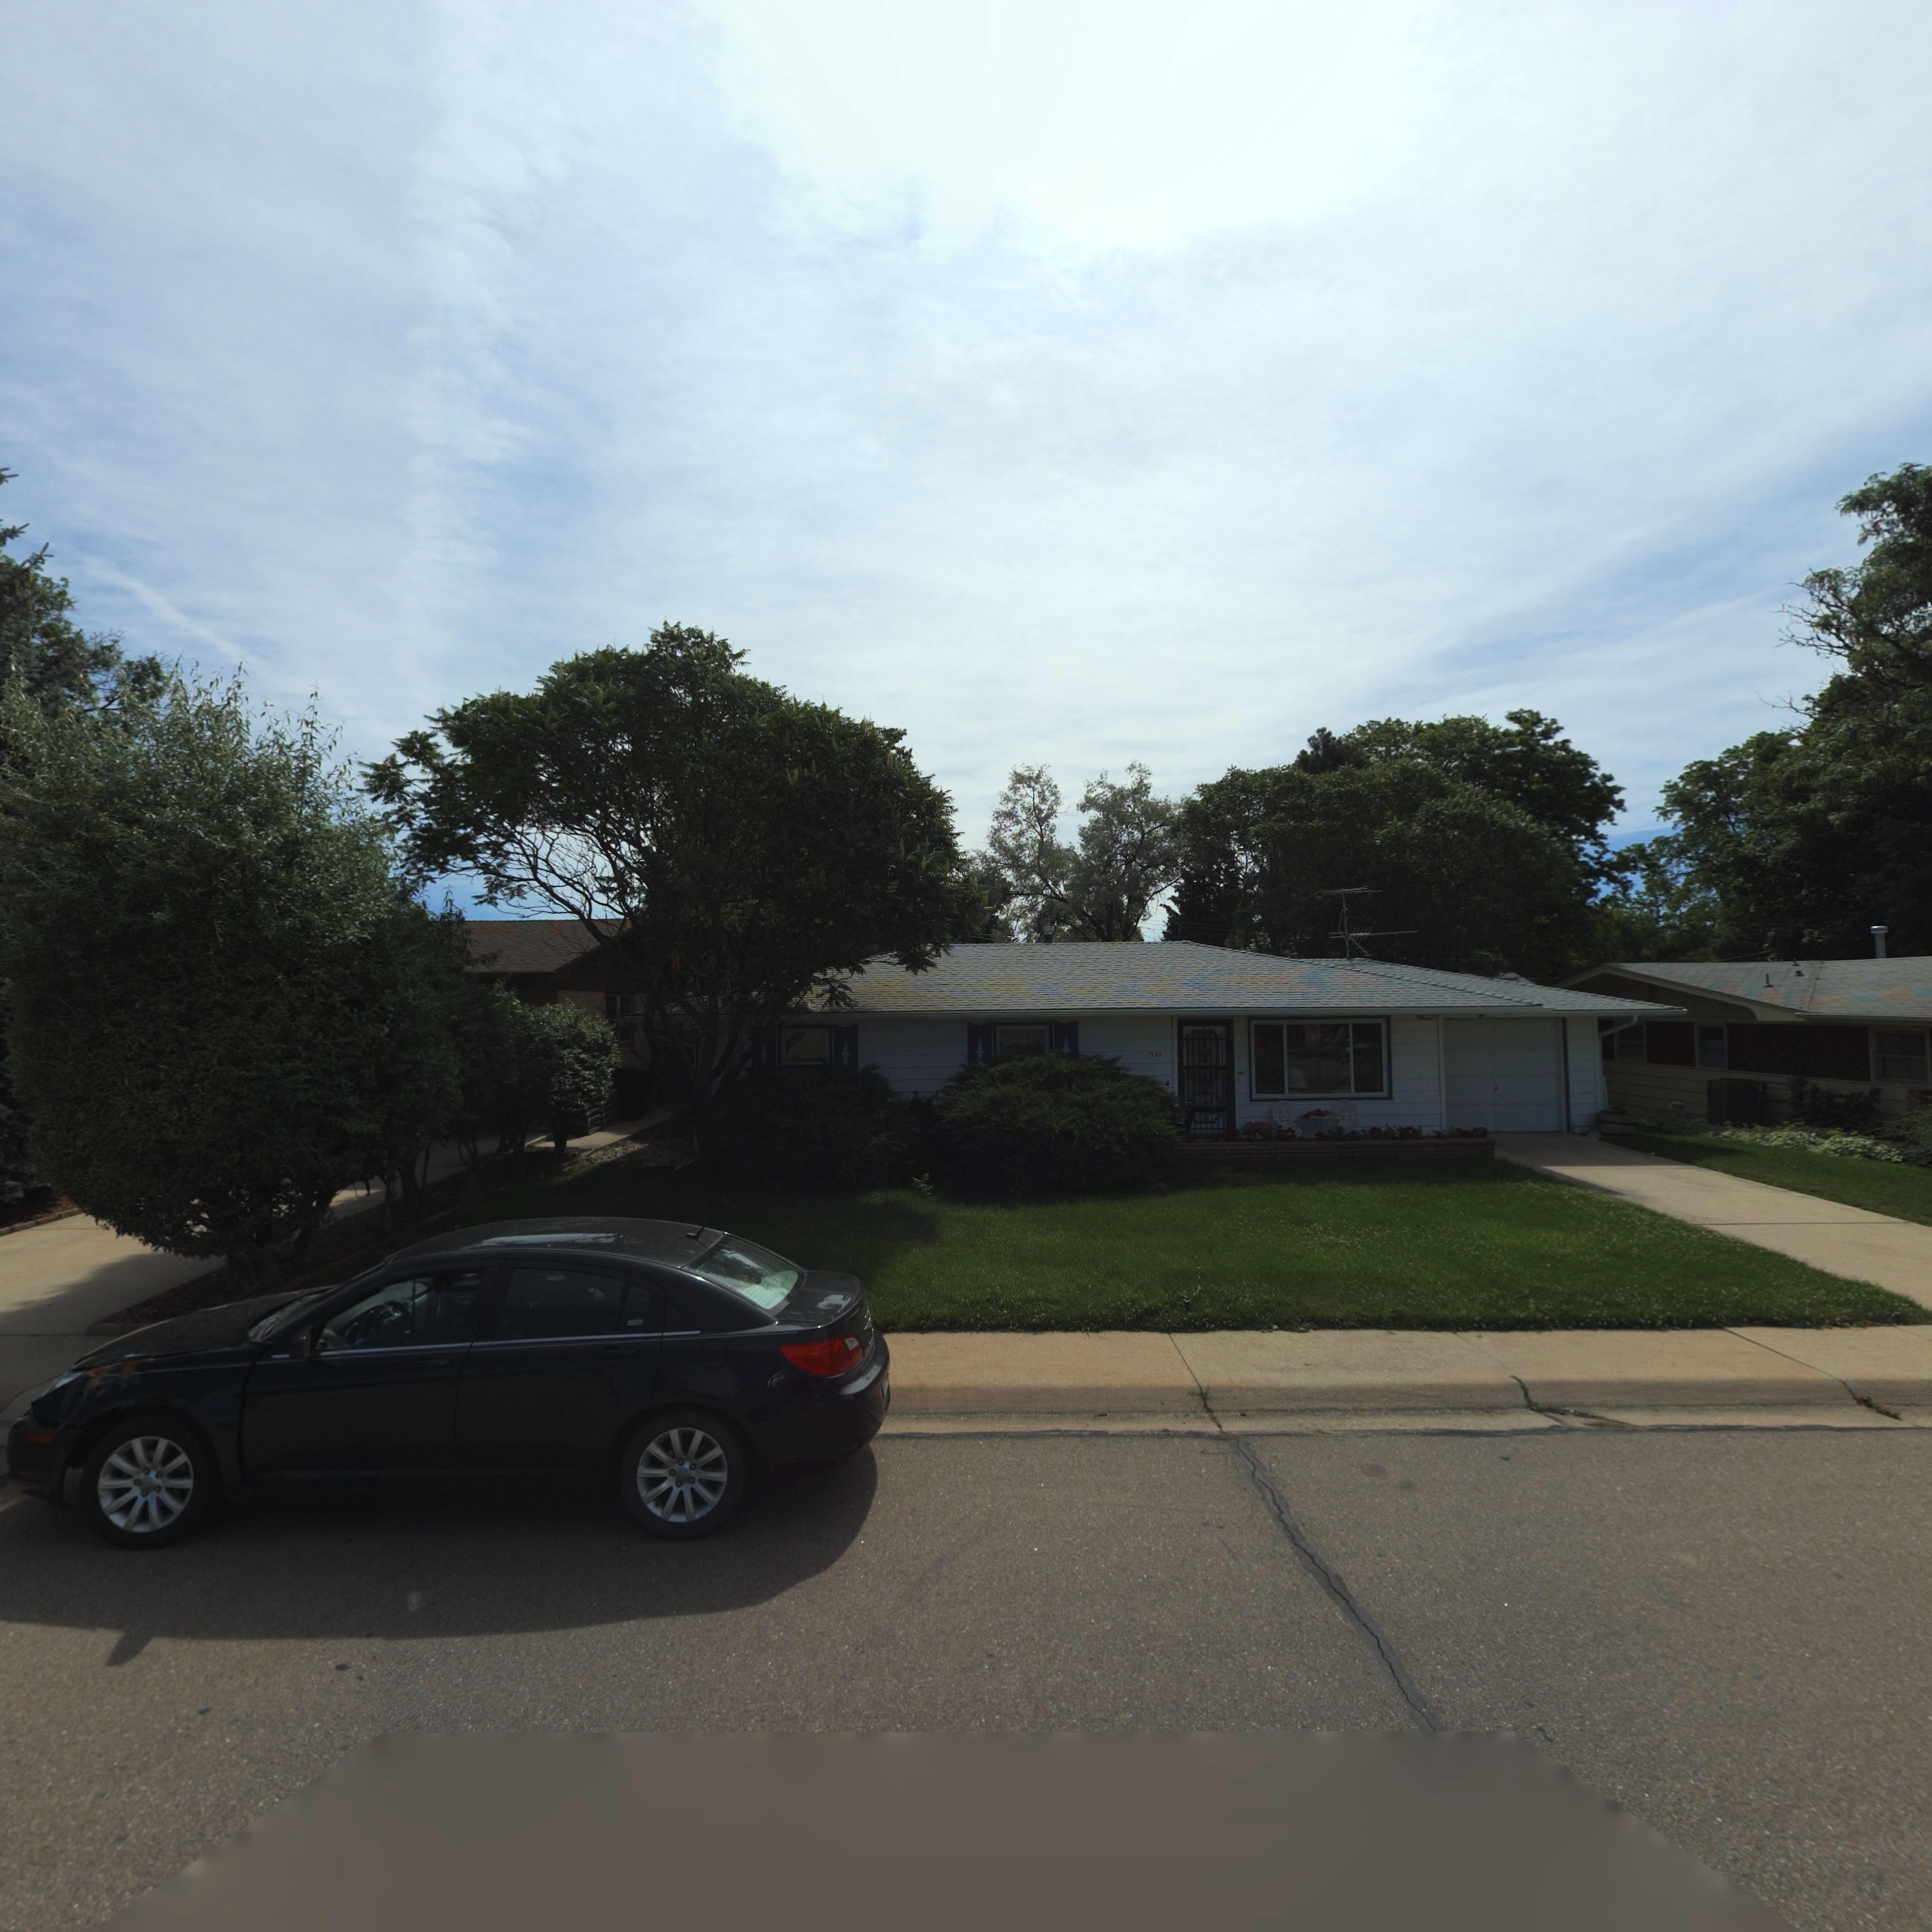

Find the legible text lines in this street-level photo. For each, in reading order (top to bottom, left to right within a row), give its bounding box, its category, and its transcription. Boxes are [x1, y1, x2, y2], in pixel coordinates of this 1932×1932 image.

[1147, 1051, 1161, 1057] StreetNumber: 1*26